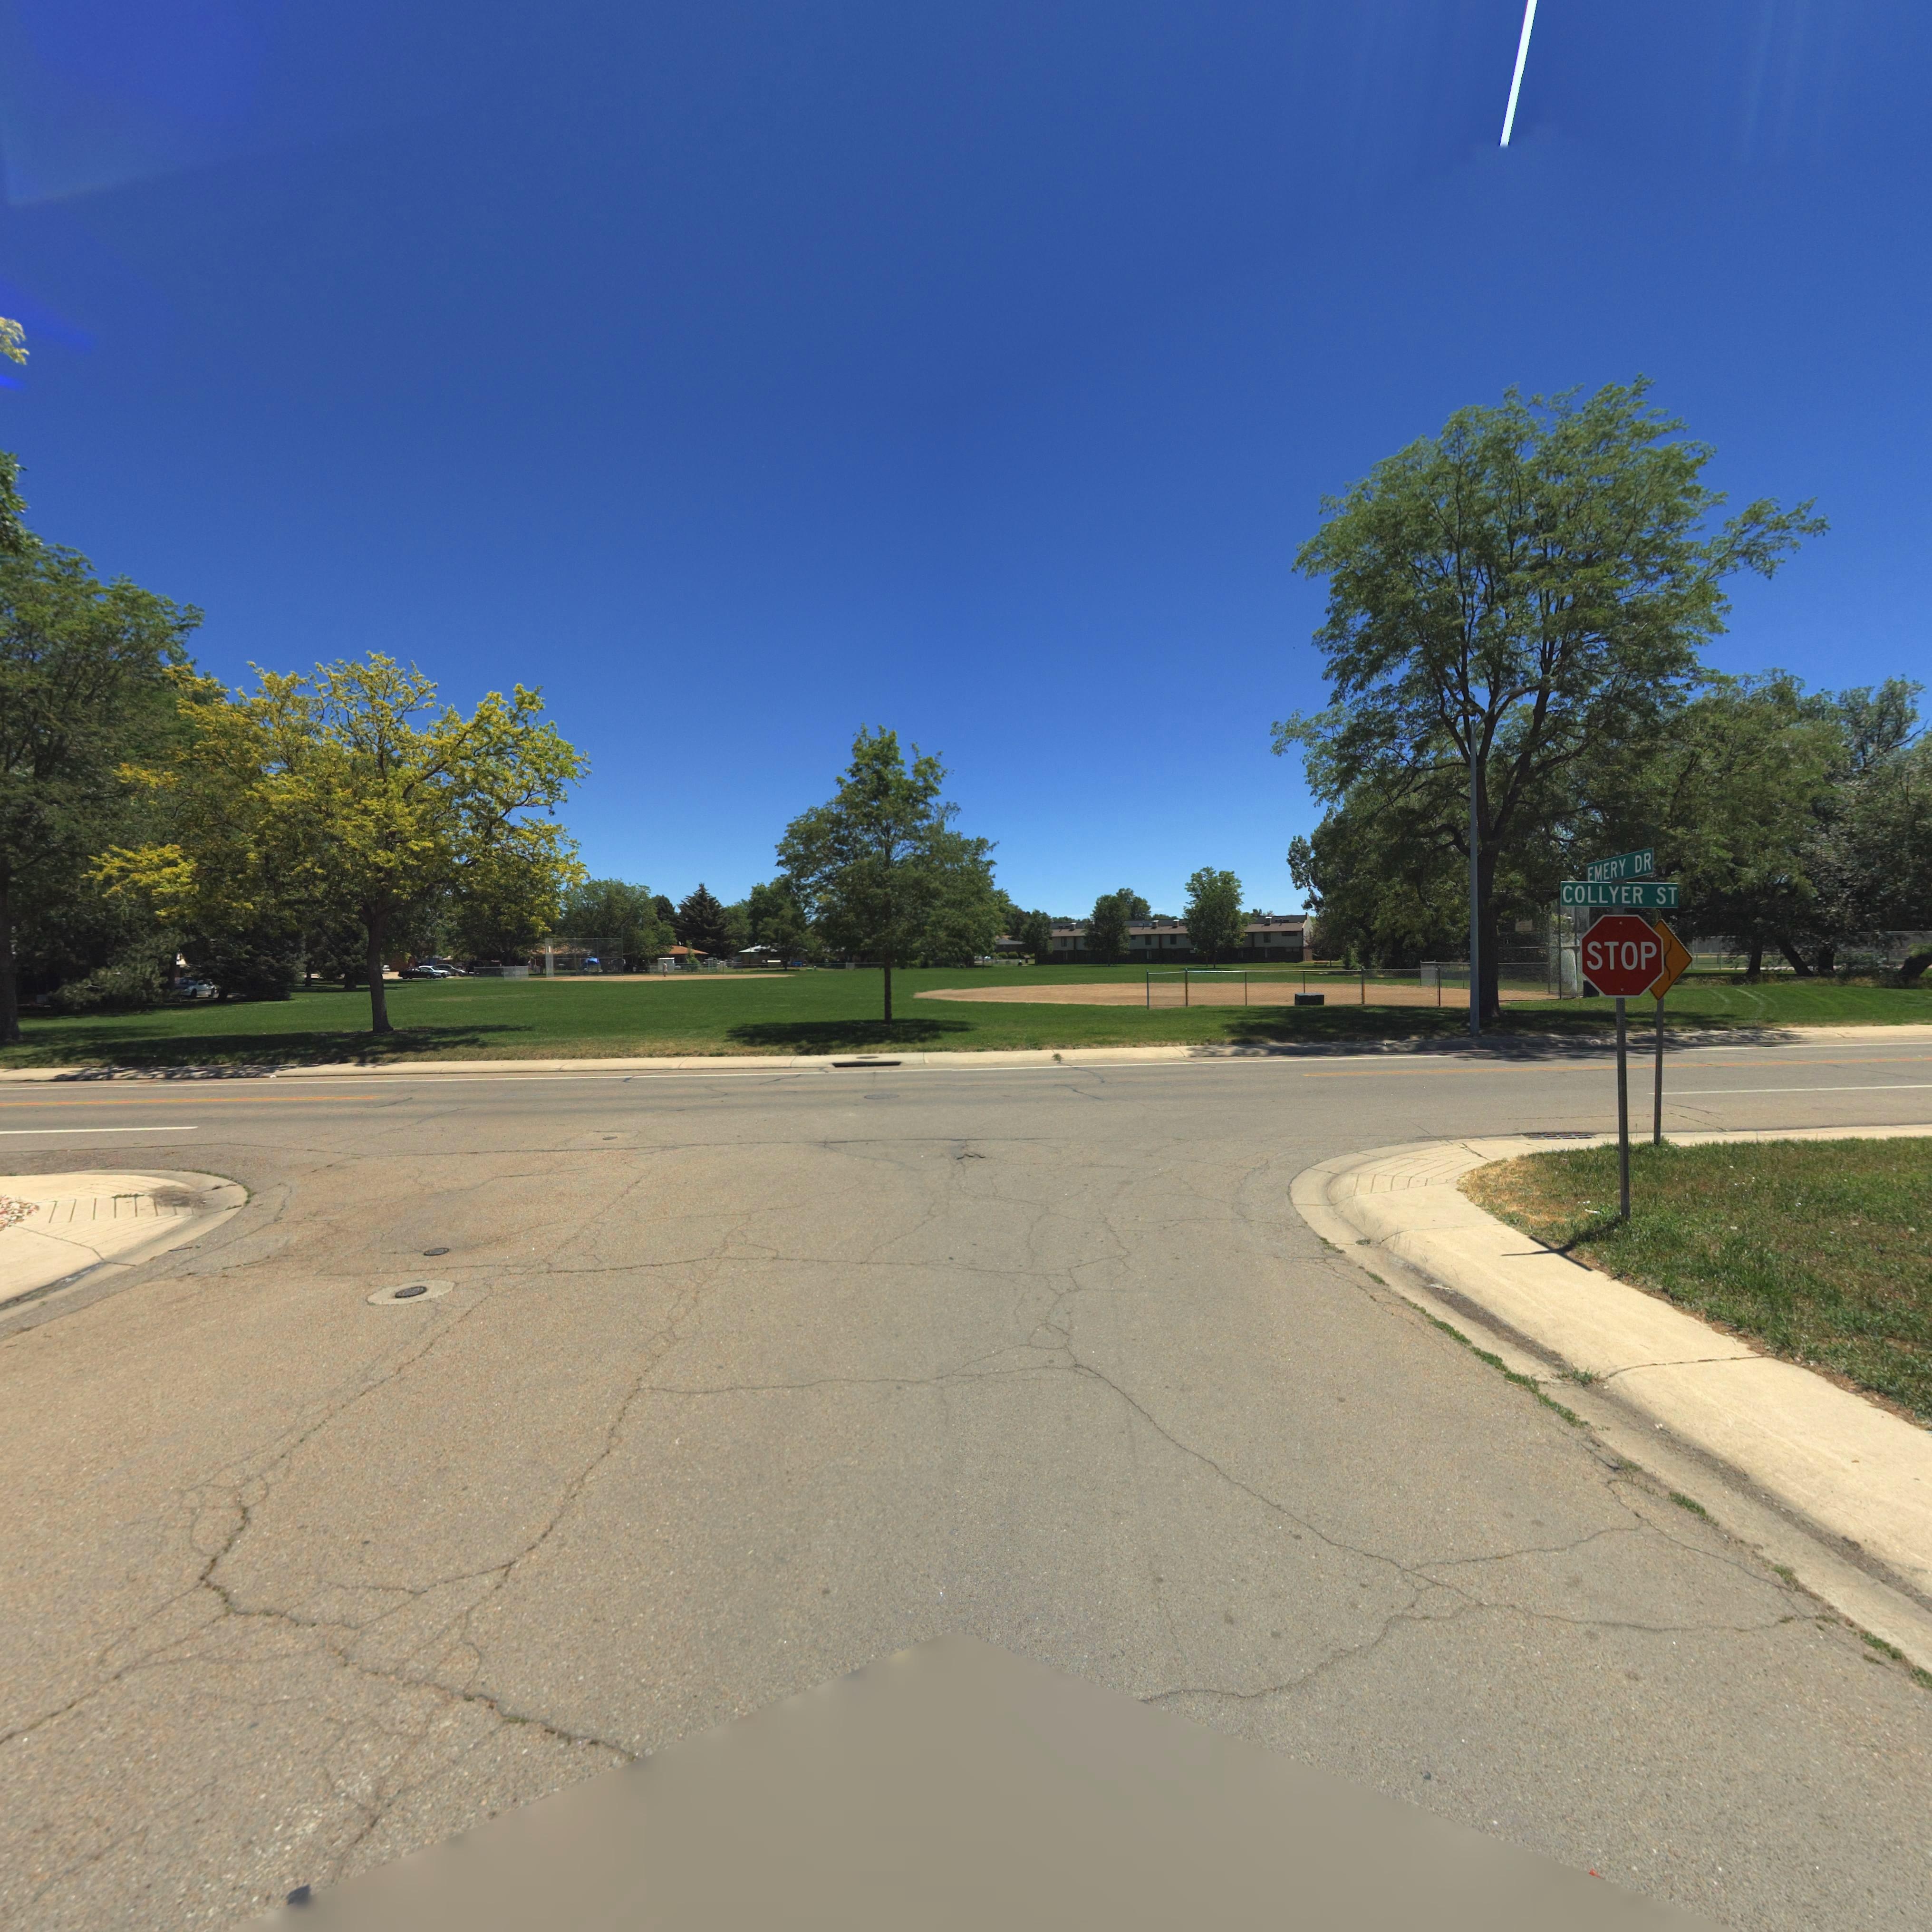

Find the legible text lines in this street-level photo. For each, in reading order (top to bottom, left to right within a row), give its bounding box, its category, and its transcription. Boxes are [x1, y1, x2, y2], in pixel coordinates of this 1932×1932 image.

[1587, 852, 1652, 883] StreetName: EMERY DR
[1562, 884, 1678, 905] StreetName: COLLYER ST